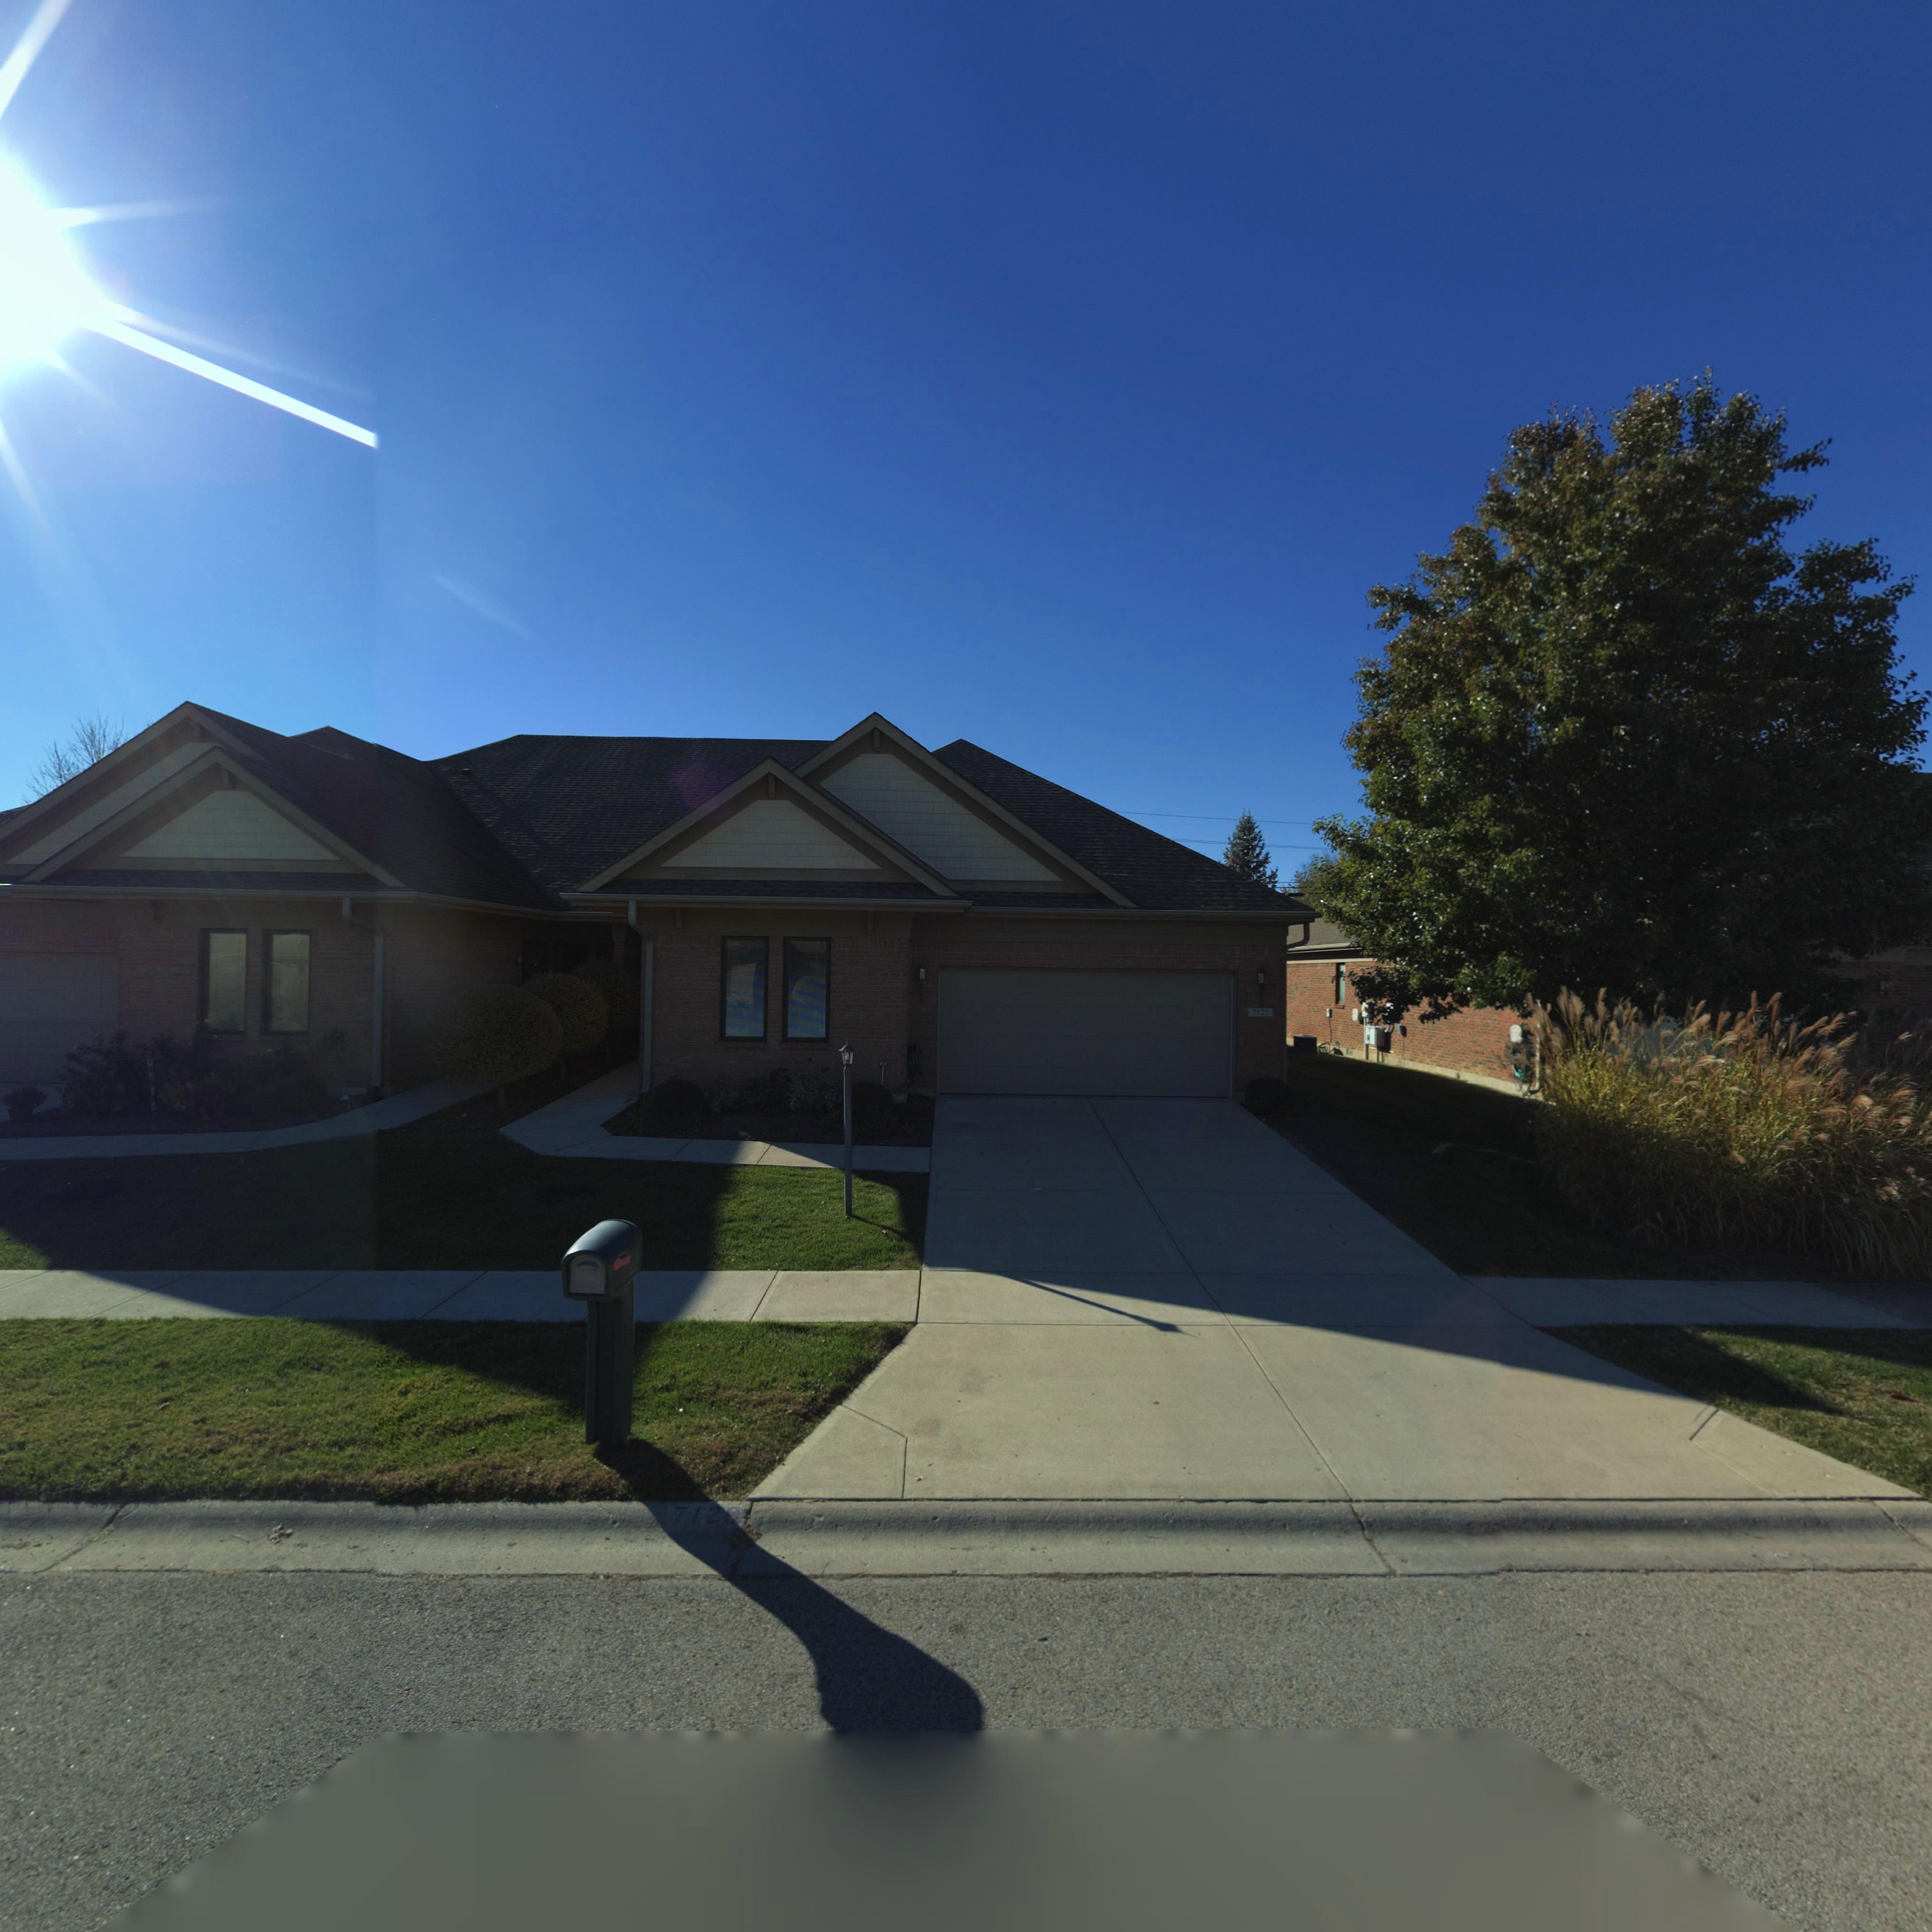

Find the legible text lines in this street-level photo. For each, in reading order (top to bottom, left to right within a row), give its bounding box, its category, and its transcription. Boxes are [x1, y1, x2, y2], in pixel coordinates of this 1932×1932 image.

[1253, 1008, 1269, 1016] StreetNumber: 7125
[671, 1504, 743, 1526] StreetNumber: 7120